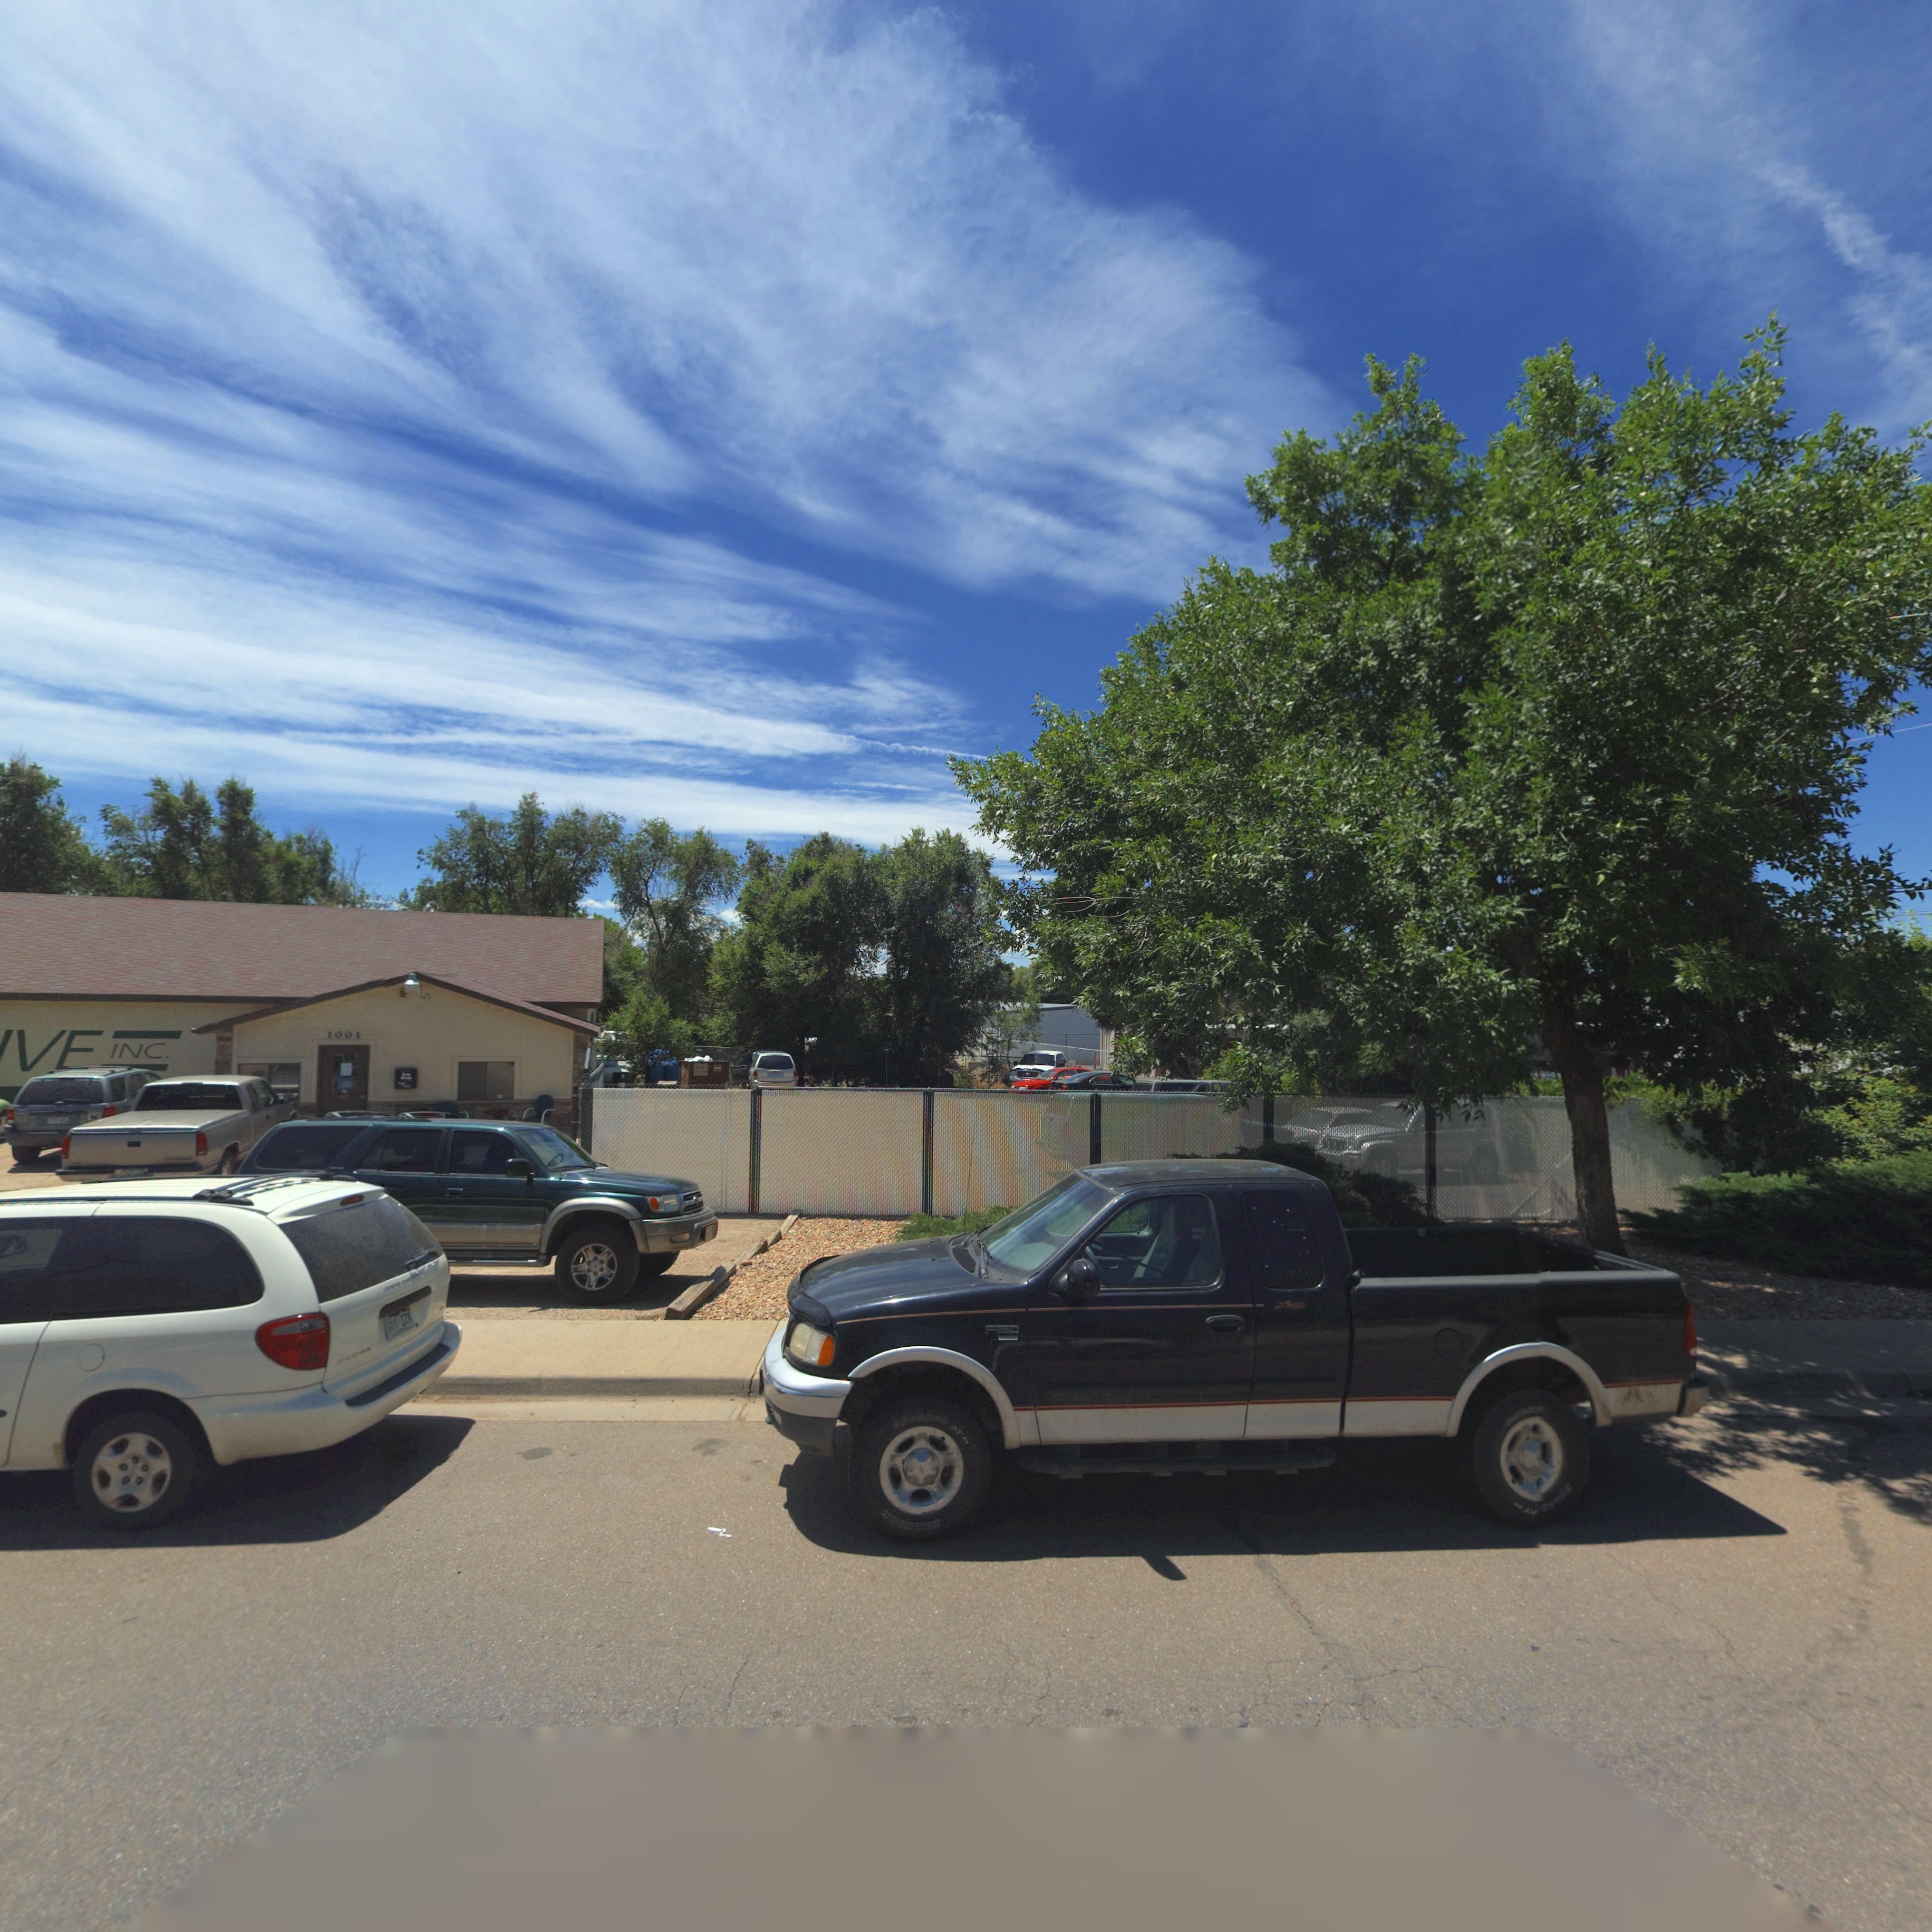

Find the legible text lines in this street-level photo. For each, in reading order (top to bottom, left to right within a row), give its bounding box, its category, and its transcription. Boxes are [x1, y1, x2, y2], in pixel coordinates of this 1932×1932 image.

[16, 1029, 171, 1072] BusinessName: VE INC.
[327, 1030, 360, 1039] StreetNumber: 1001